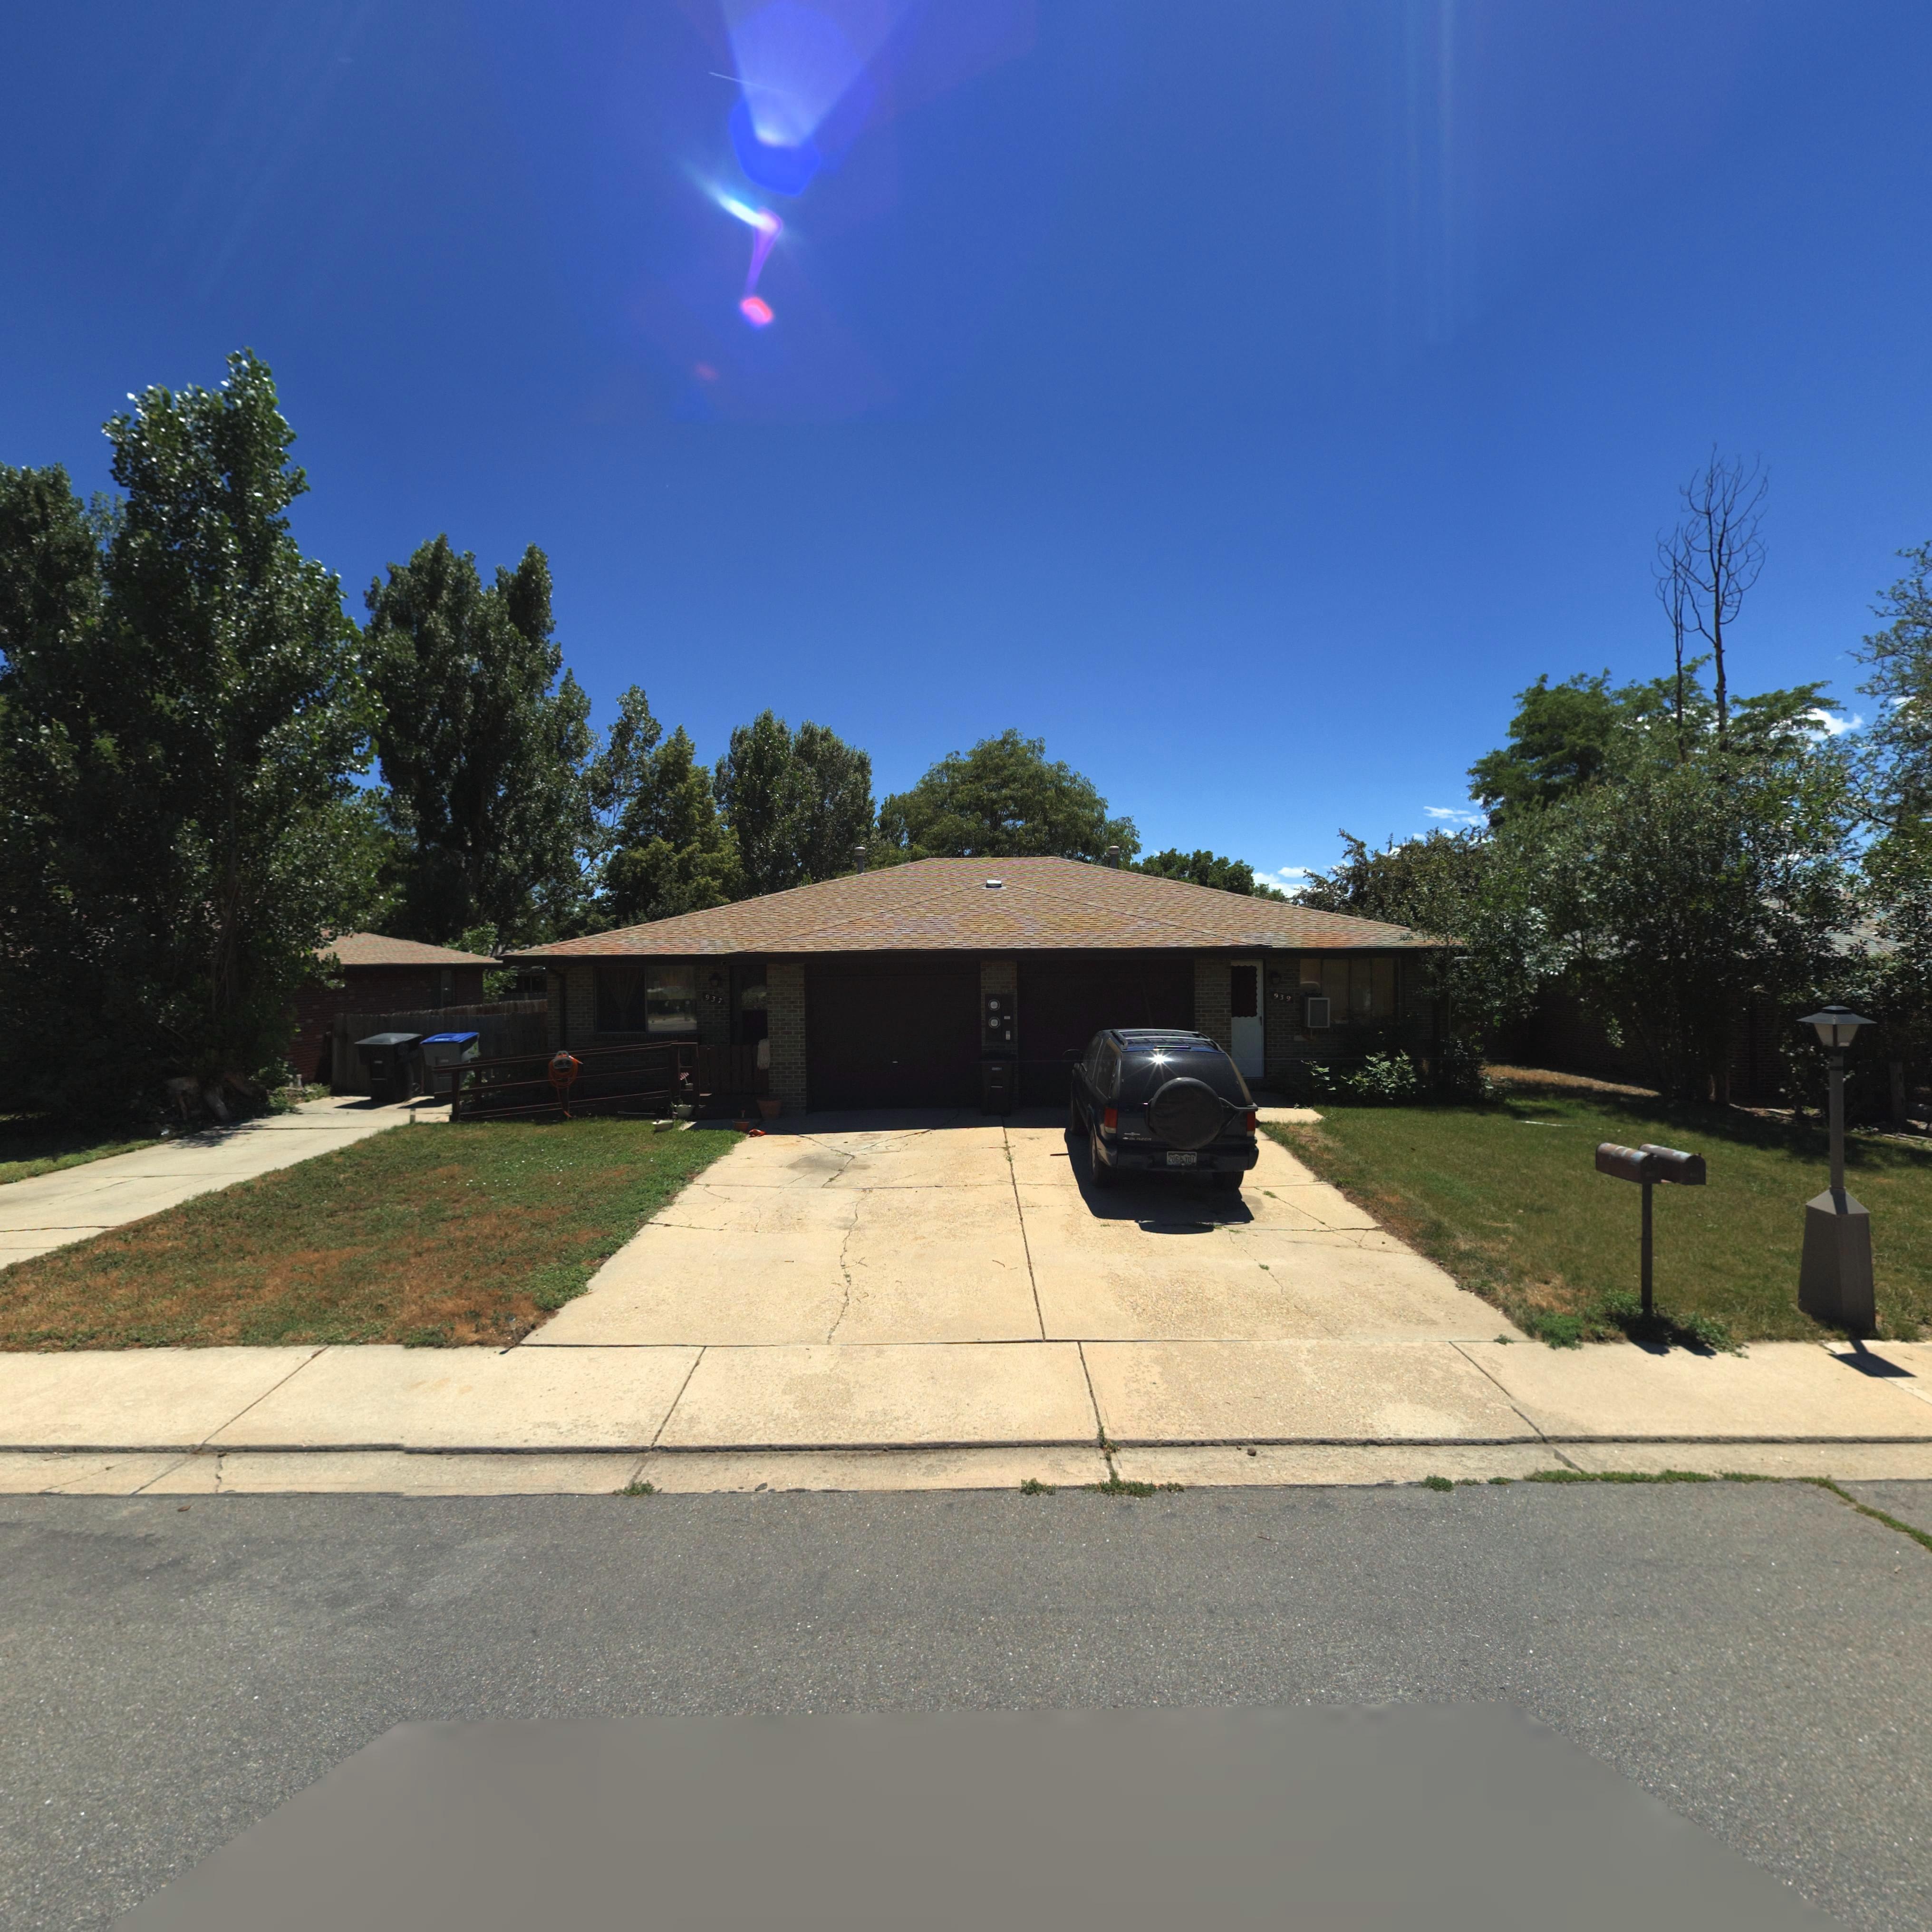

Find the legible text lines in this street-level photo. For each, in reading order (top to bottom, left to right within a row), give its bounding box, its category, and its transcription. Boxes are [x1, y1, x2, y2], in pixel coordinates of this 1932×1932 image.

[705, 994, 723, 1004] StreetNumber: 937
[1273, 992, 1291, 1002] StreetNumber: 939